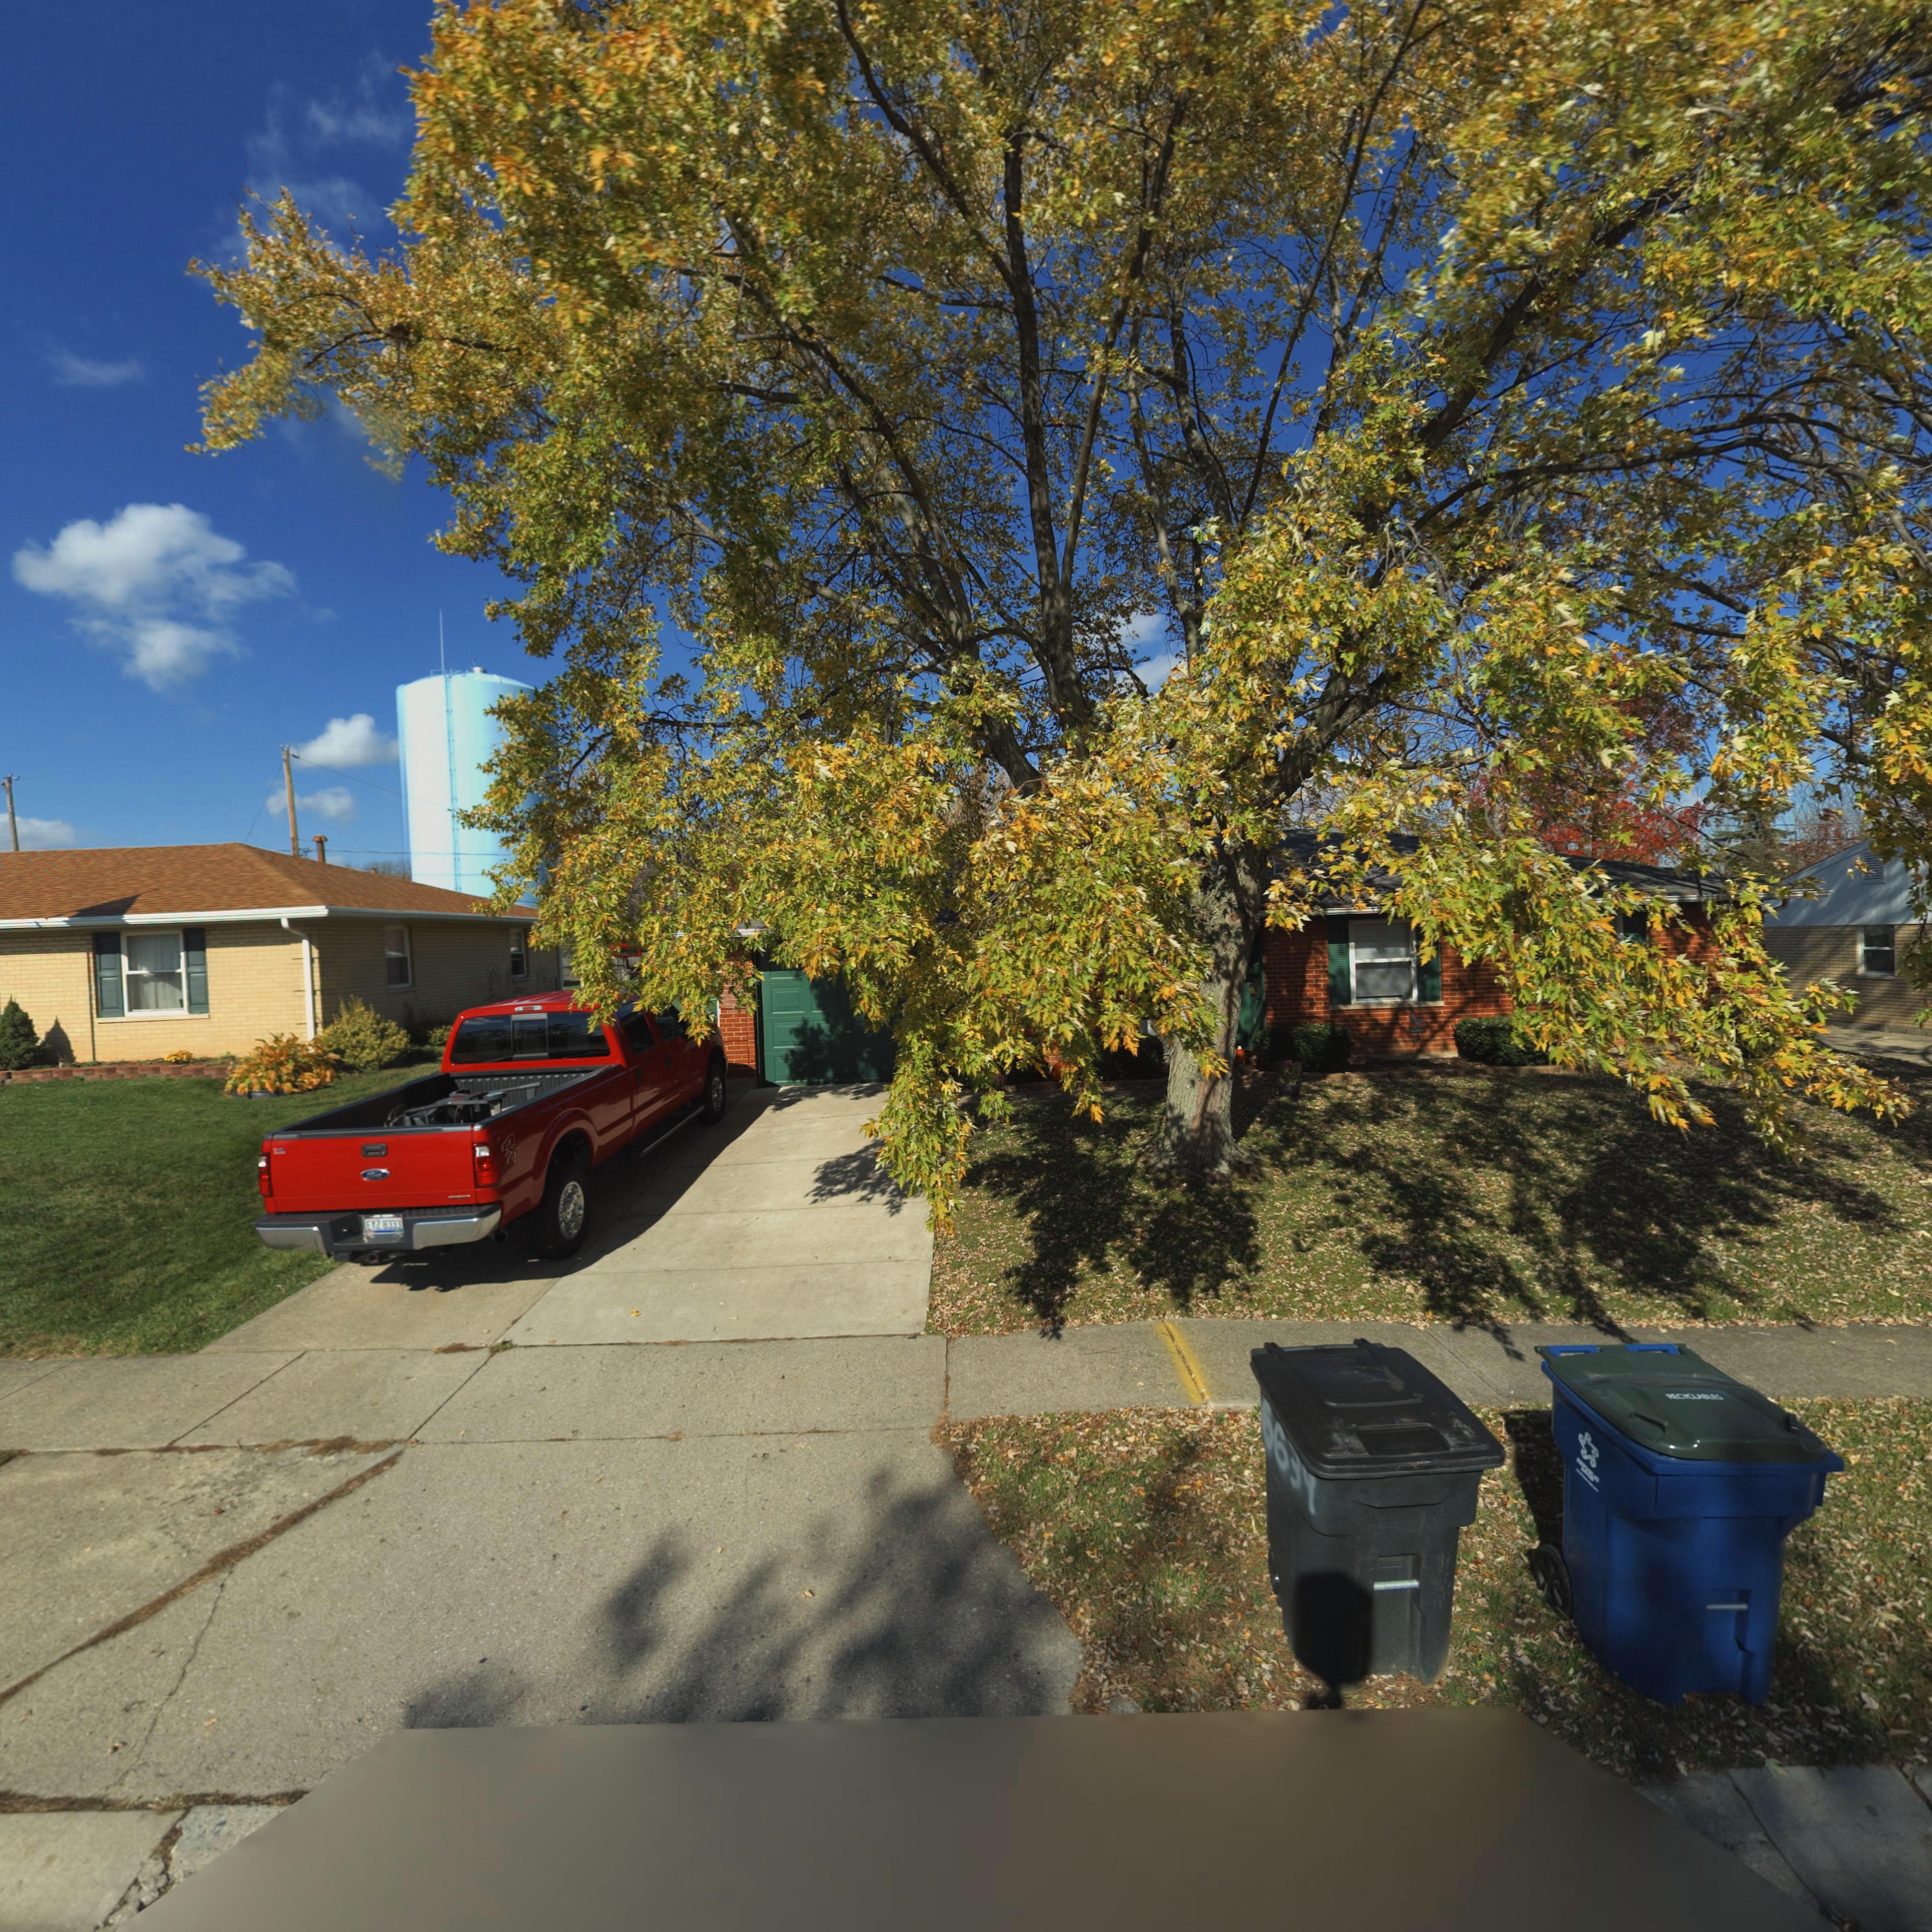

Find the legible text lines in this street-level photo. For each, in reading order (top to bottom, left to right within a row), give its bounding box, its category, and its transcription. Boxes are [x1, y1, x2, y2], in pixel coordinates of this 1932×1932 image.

[1260, 1396, 1319, 1517] StreetNumber: 6634